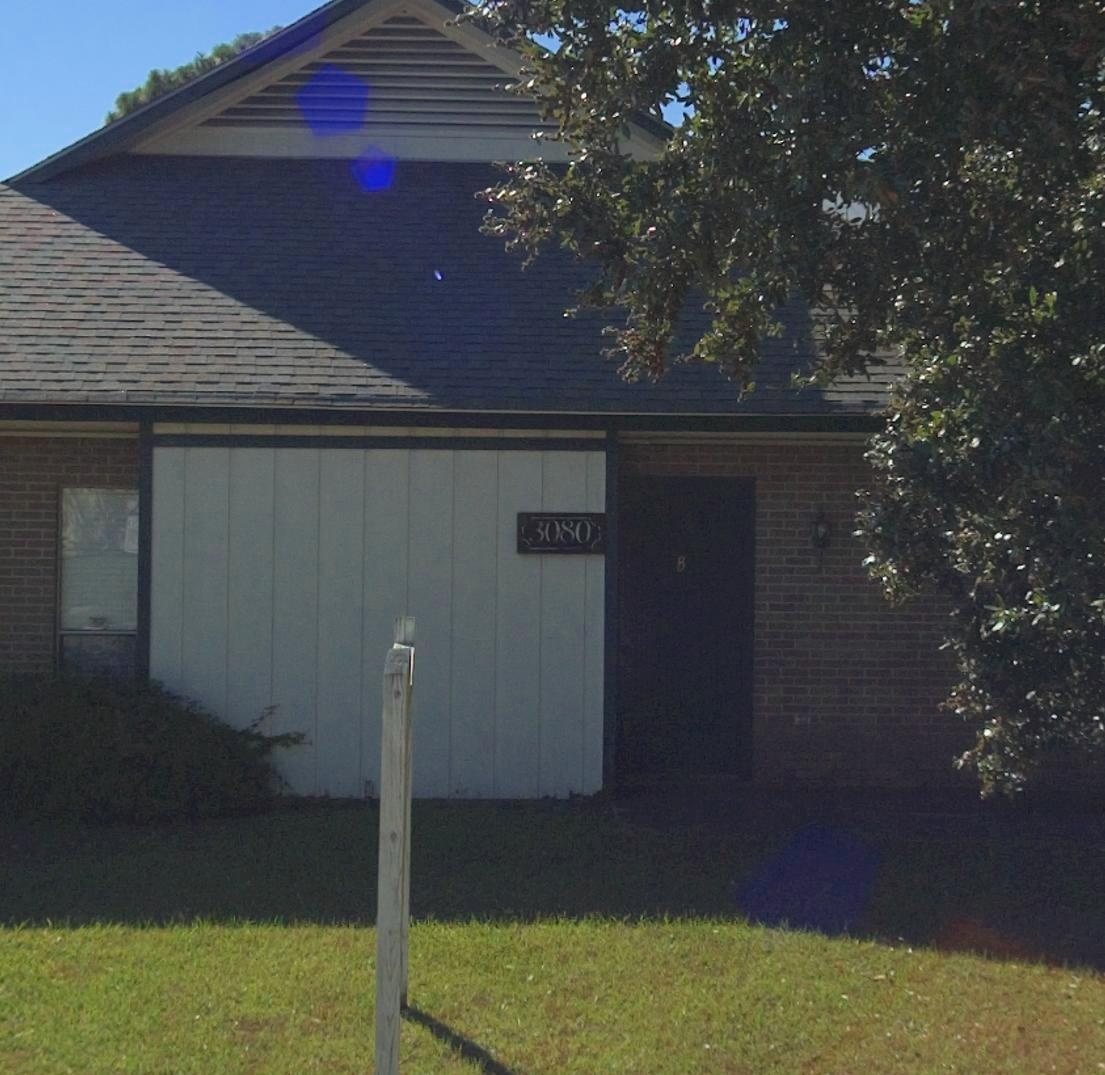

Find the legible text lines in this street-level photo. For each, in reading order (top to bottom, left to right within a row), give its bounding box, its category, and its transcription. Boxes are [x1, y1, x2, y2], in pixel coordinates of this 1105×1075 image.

[527, 519, 593, 545] StreetNumber: 3080
[675, 554, 687, 574] StreetNumber: B